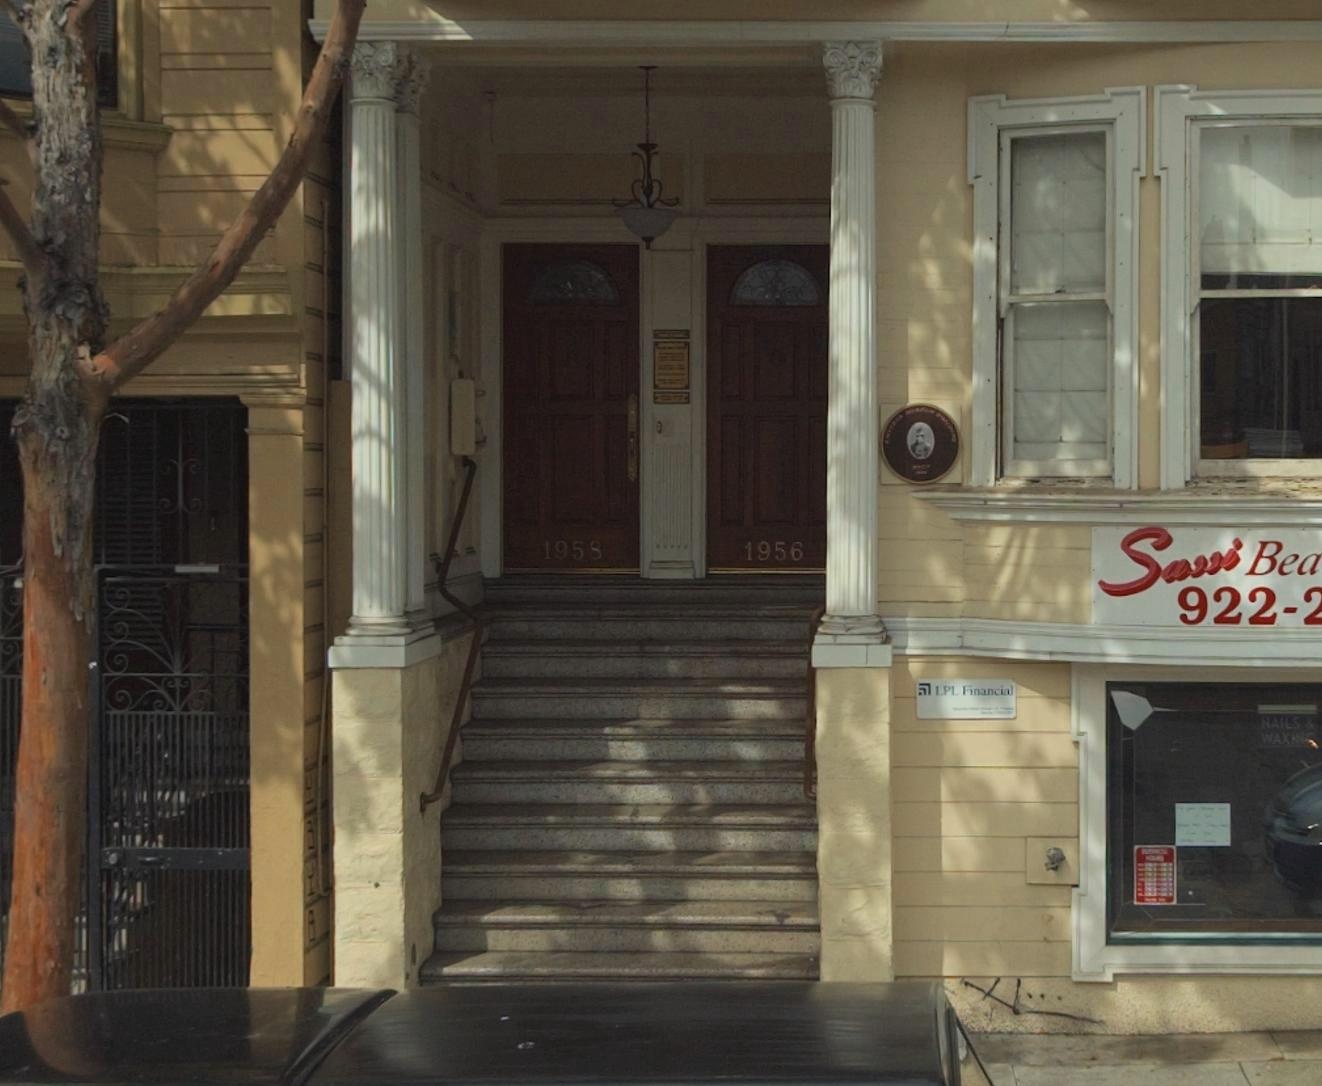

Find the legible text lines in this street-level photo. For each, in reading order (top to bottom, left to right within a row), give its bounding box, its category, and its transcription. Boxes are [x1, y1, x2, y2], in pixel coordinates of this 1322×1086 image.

[542, 540, 602, 560] StreetNumber: 1958
[744, 541, 804, 561] StreetNumber: 1956
[1097, 525, 1322, 597] BusinessName: Savi Bea
[1177, 586, 1322, 625] None: 922-*
[936, 685, 1014, 696] BusinessName: LPL Financial
[1260, 715, 1315, 730] None: NAILS &
[1259, 730, 1315, 746] None: WAXING
[1145, 855, 1165, 862] None: HOURS